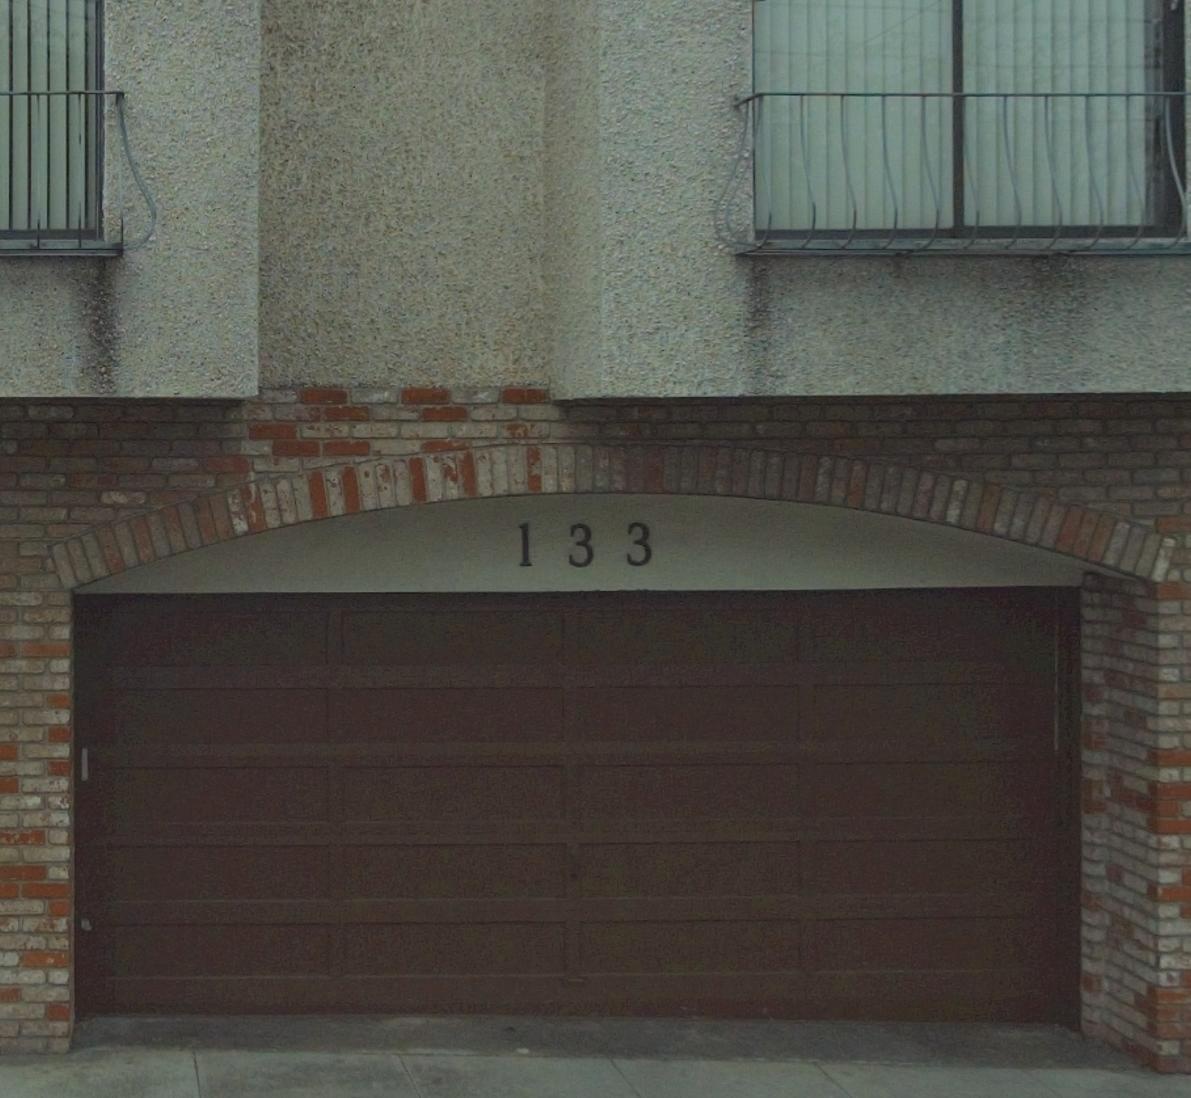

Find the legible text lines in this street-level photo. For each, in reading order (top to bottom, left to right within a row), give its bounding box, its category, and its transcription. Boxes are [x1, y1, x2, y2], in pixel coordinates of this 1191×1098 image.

[514, 519, 654, 570] StreetNumber: 133